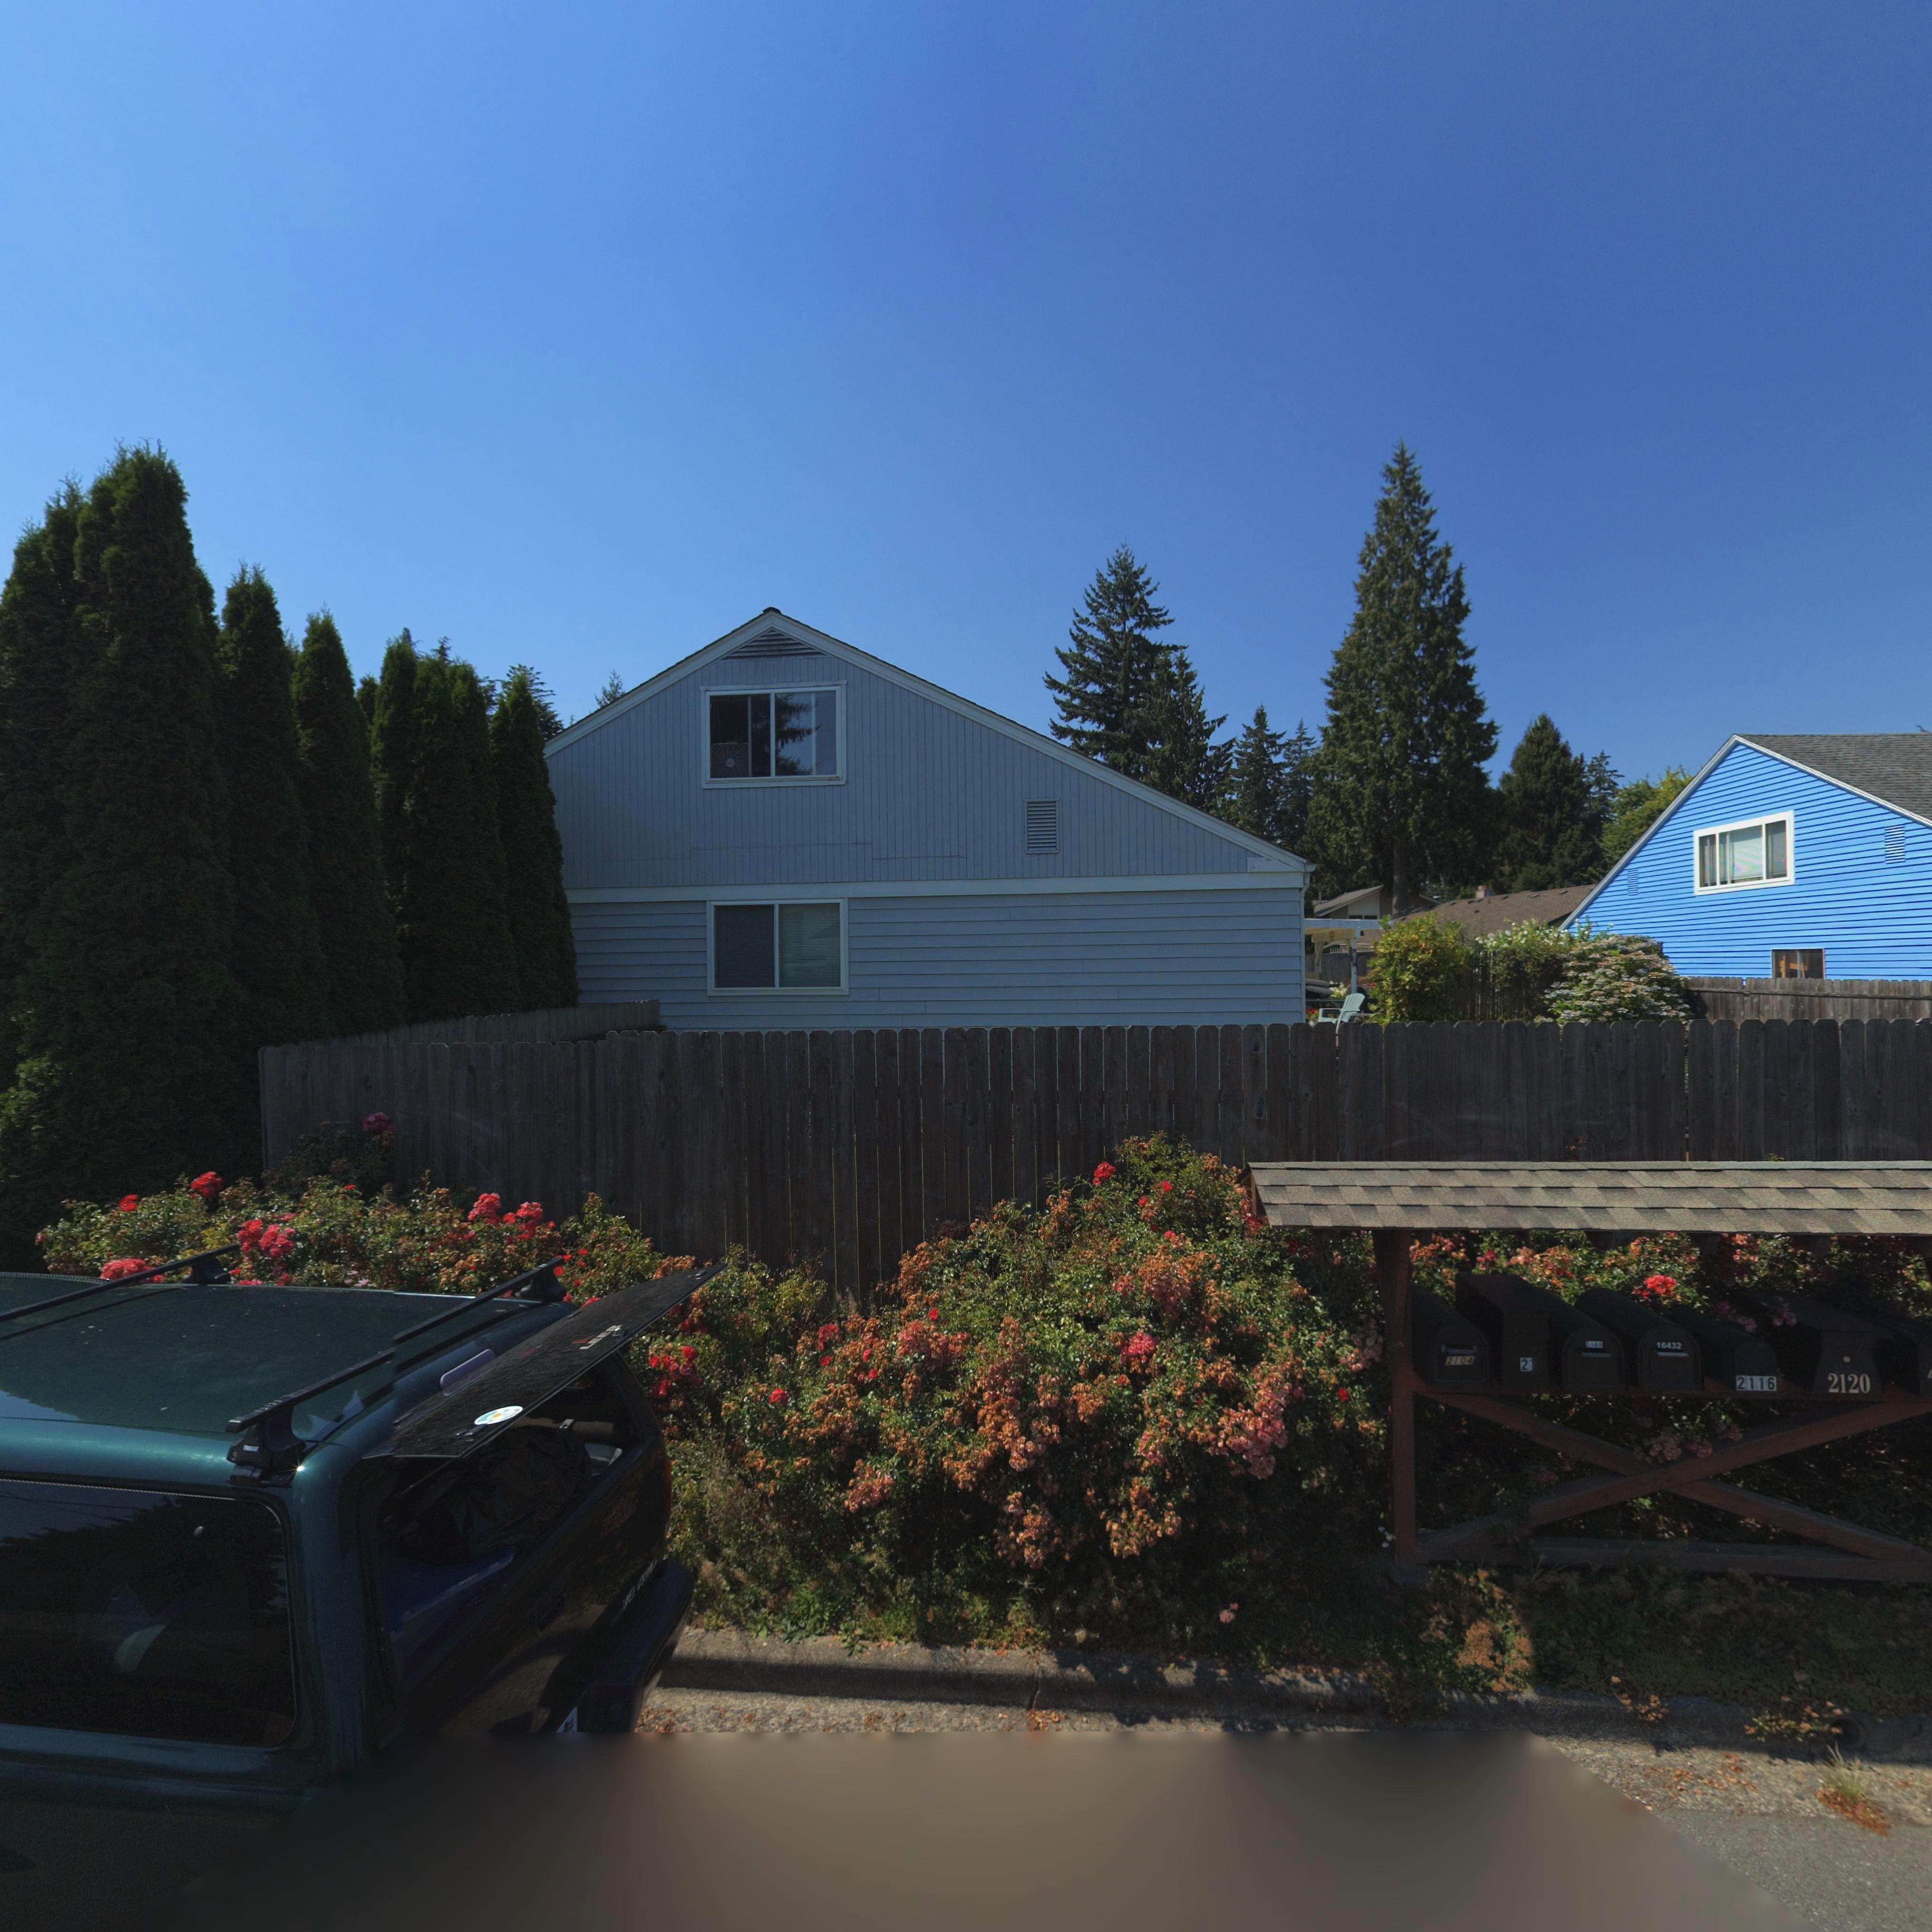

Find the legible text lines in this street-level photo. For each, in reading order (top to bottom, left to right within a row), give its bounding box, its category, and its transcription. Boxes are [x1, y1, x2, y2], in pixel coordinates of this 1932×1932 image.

[1657, 1341, 1681, 1350] StreetNumber: 16432
[1446, 1354, 1474, 1365] StreetNumber: 2104
[1736, 1375, 1782, 1392] StreetNumber: 2116
[1828, 1372, 1872, 1394] StreetNumber: 2120